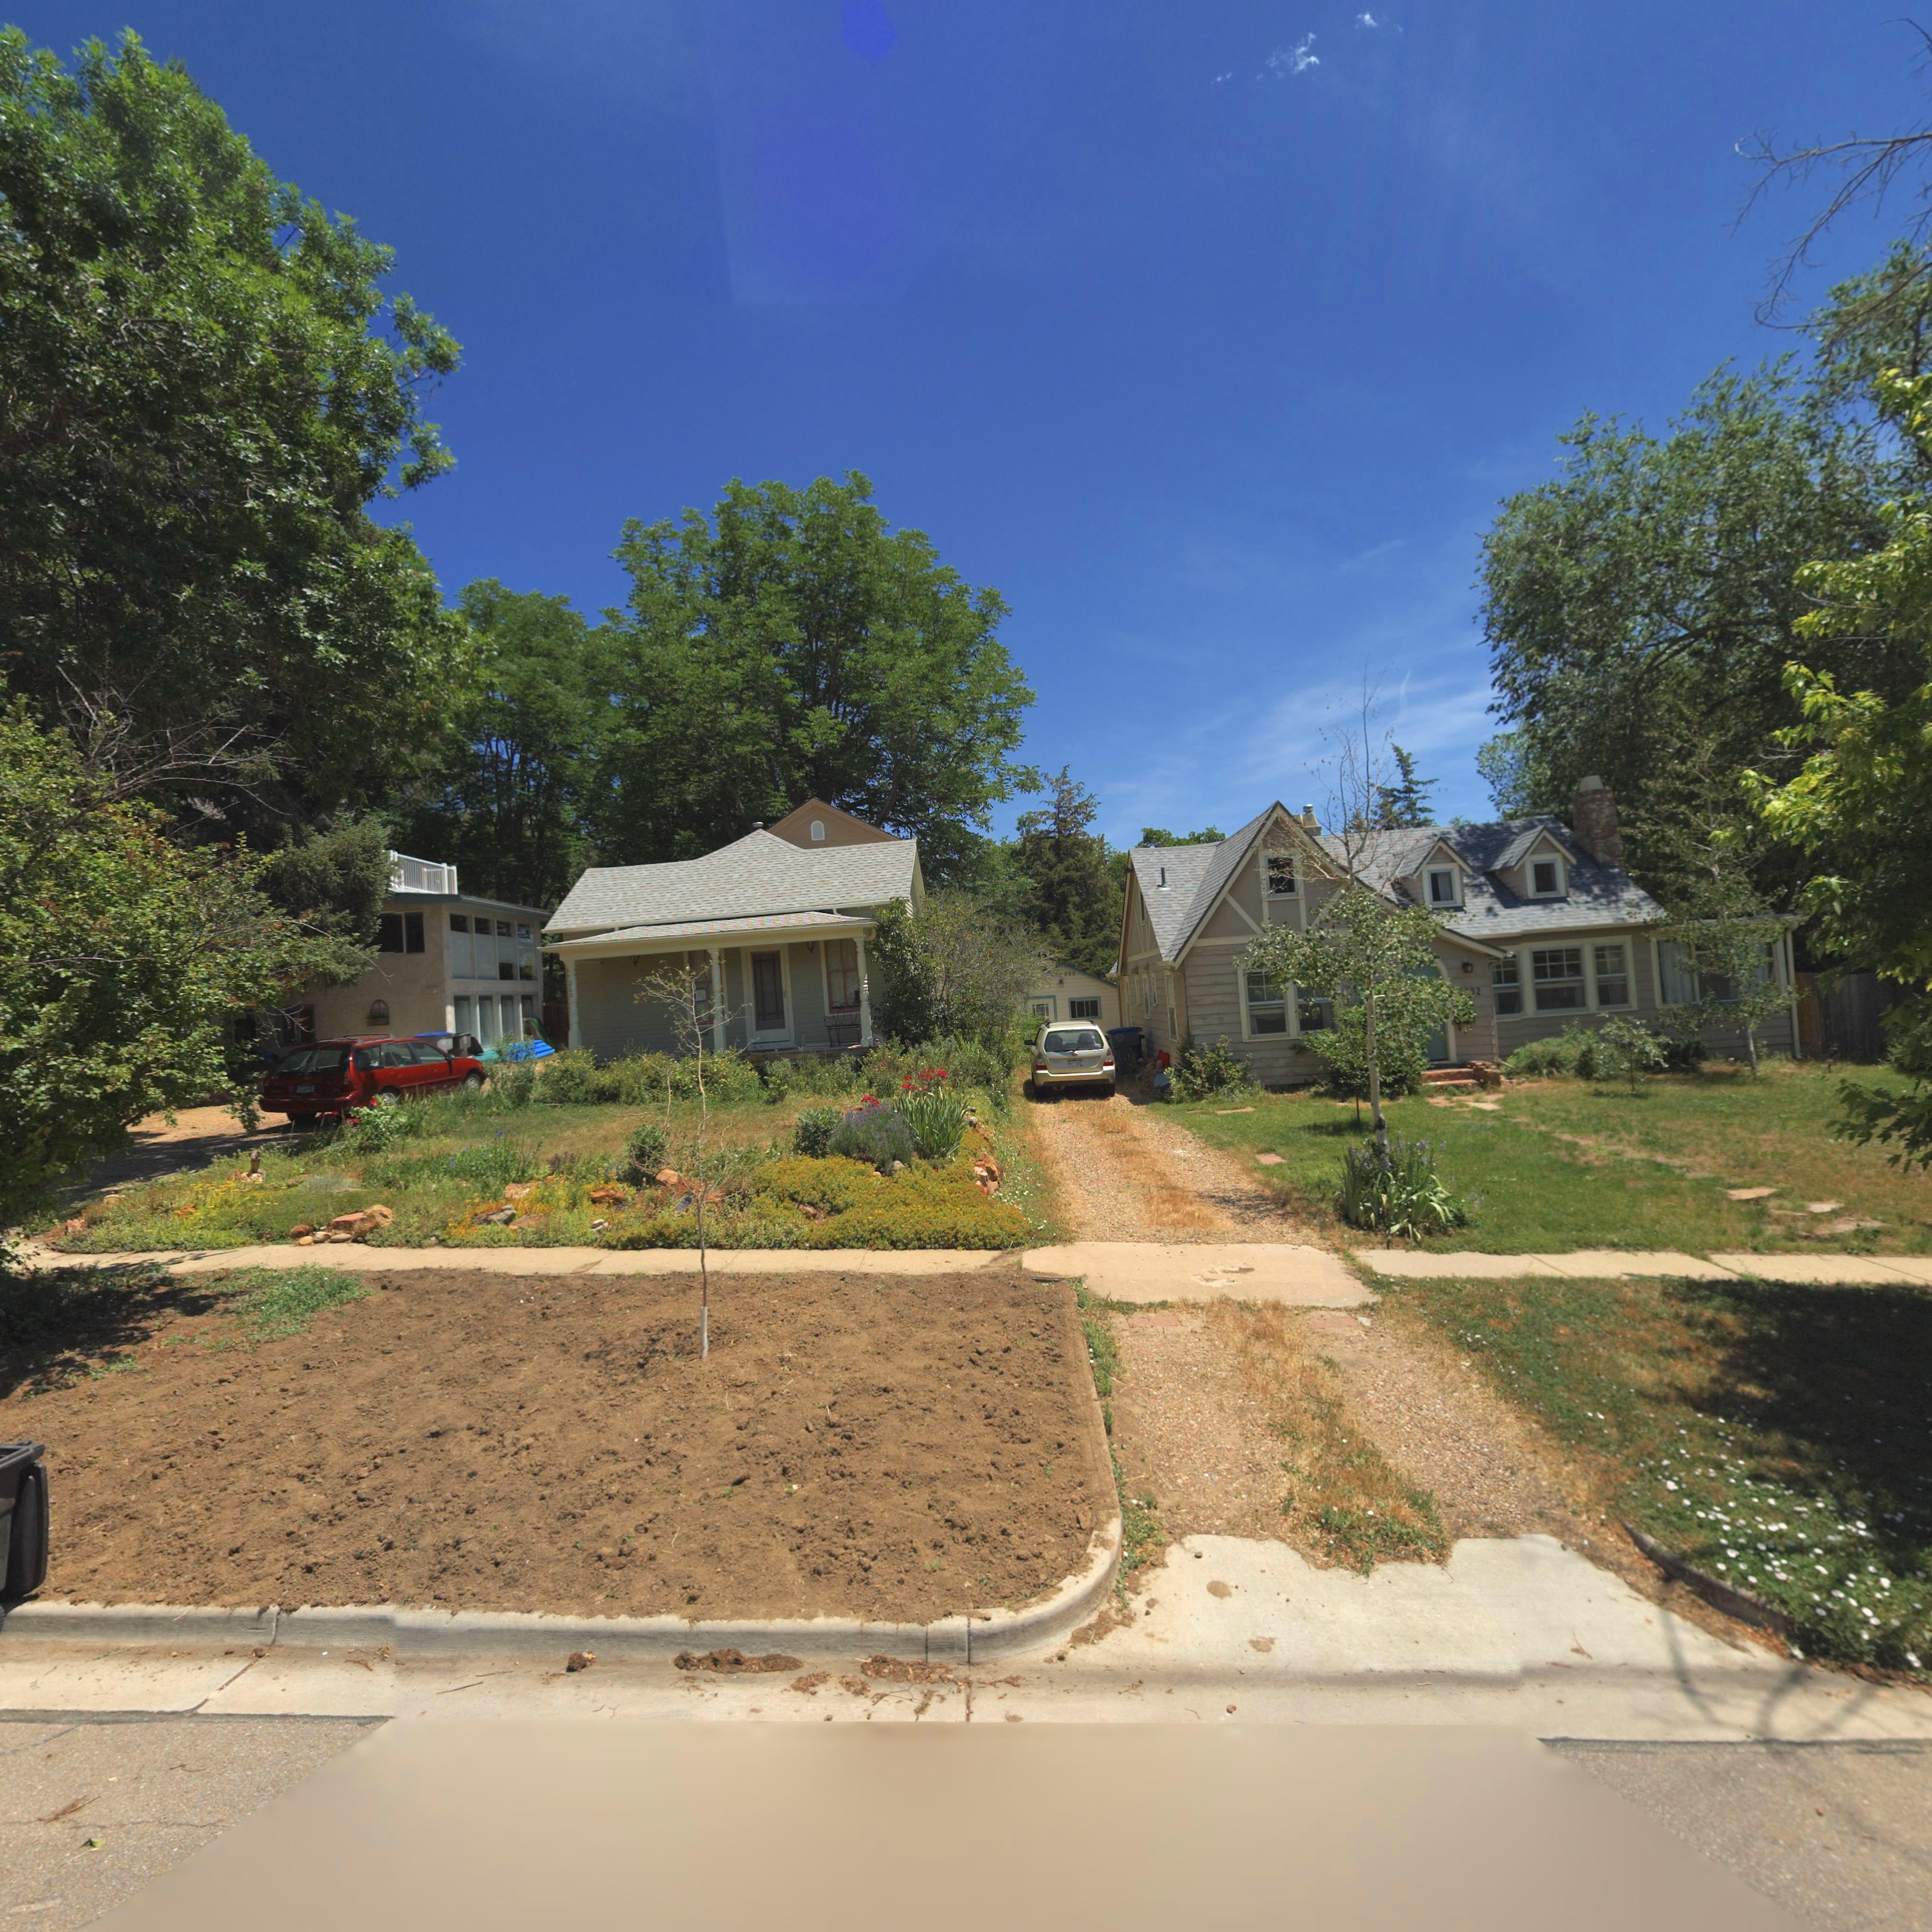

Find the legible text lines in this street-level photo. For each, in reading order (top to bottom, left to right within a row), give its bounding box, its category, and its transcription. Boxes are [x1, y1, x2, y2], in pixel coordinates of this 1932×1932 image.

[568, 981, 573, 998] StreetNumber: 260
[1470, 987, 1481, 995] StreetNumber: *2